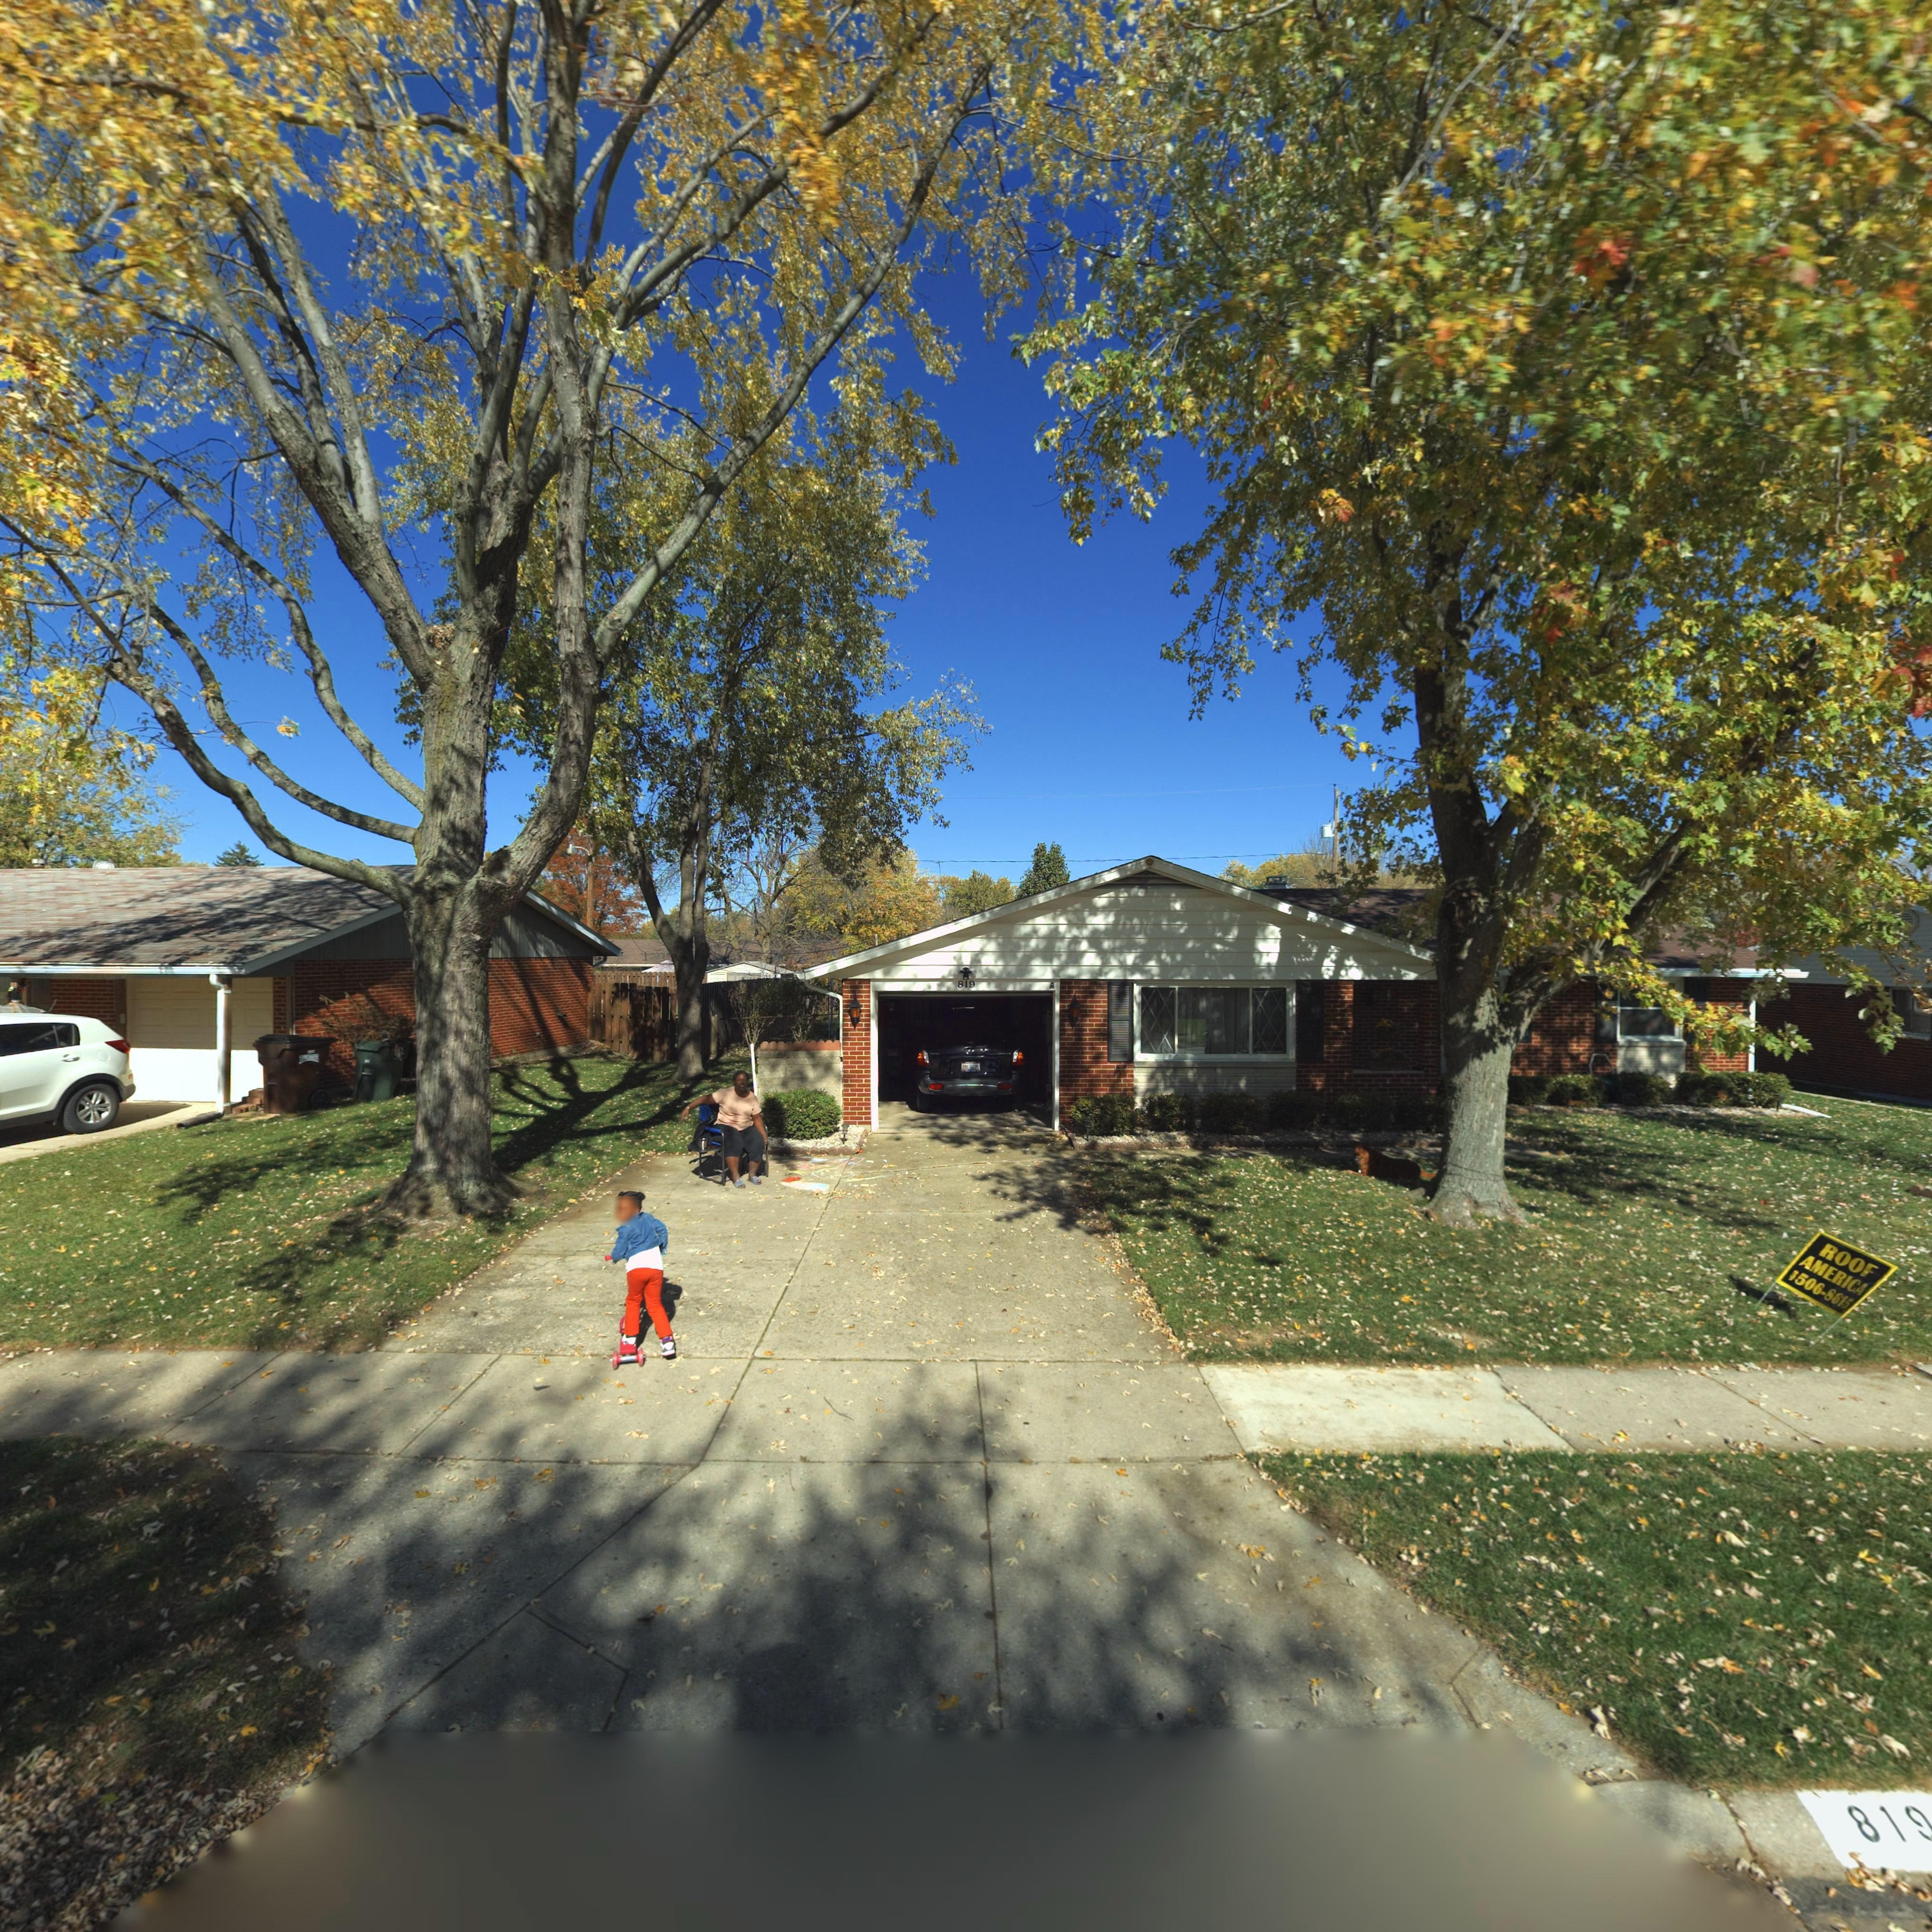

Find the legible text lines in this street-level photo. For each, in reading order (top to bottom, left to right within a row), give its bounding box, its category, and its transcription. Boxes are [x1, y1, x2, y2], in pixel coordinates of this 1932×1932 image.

[957, 980, 976, 988] StreetNumber: 819
[1845, 1805, 1932, 1844] StreetNumber: 819